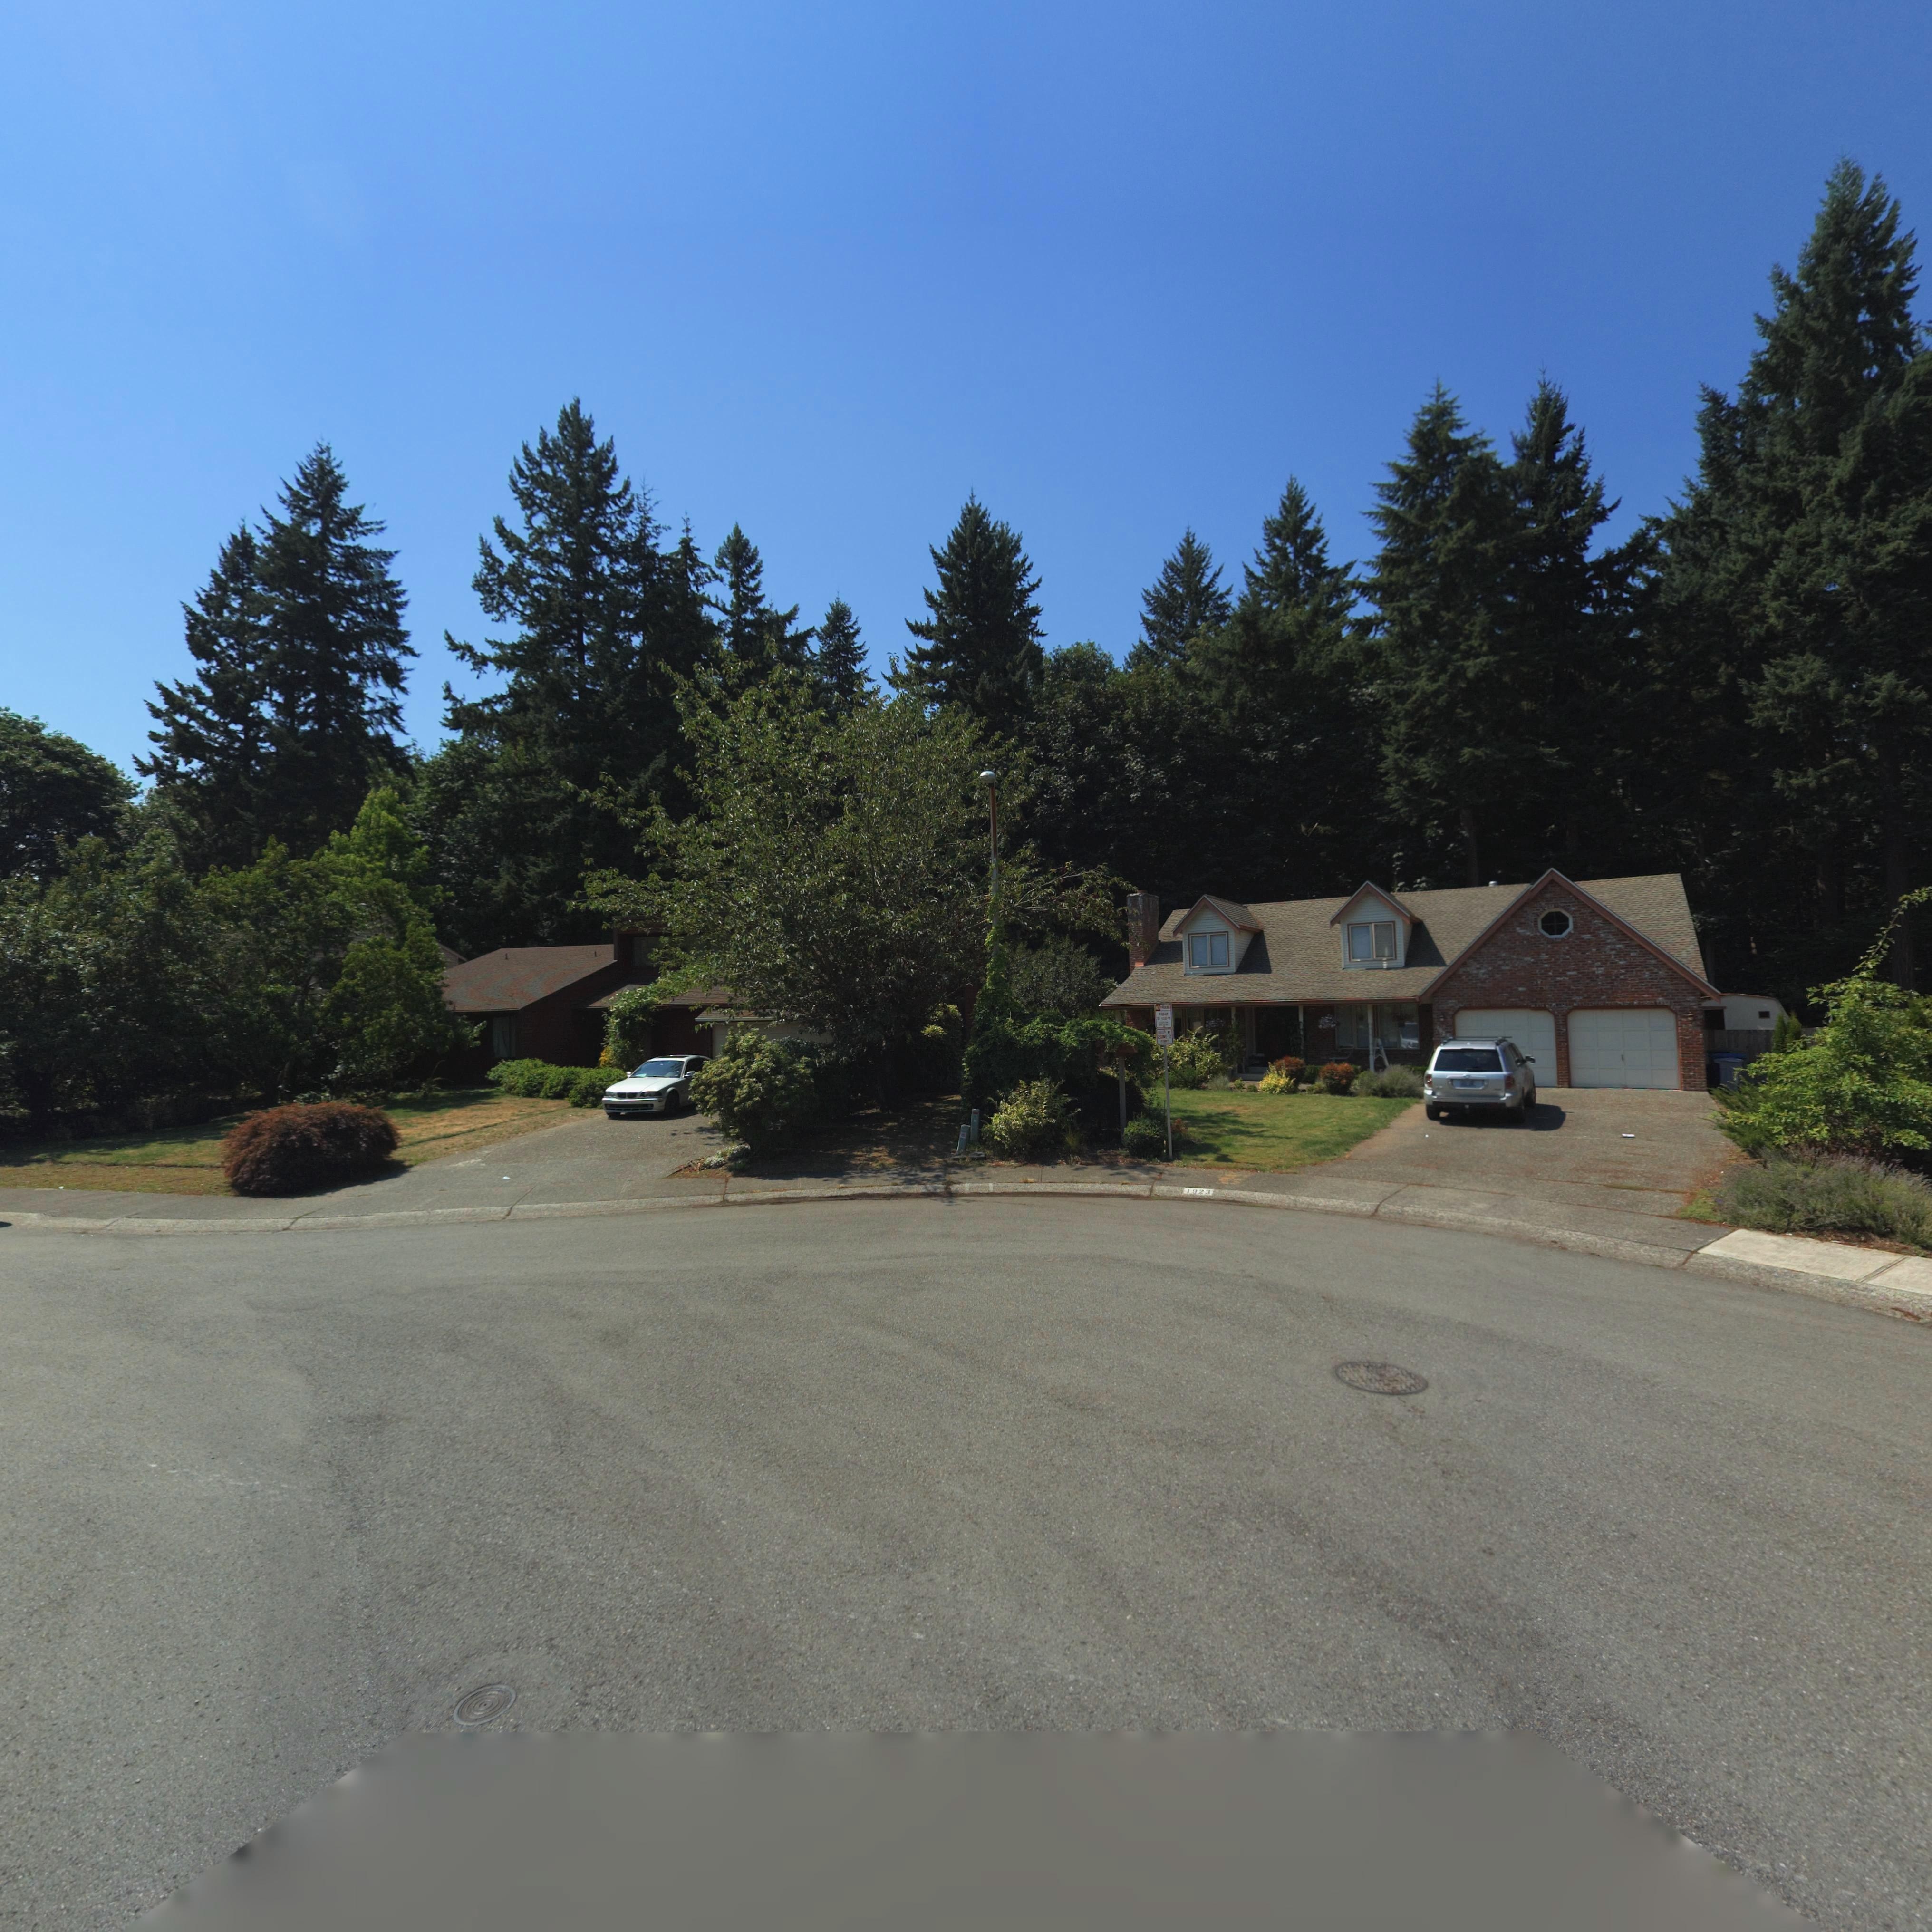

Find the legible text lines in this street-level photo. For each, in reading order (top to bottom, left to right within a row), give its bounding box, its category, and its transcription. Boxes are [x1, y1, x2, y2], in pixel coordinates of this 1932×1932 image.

[1185, 1188, 1211, 1196] StreetNumber: 1923